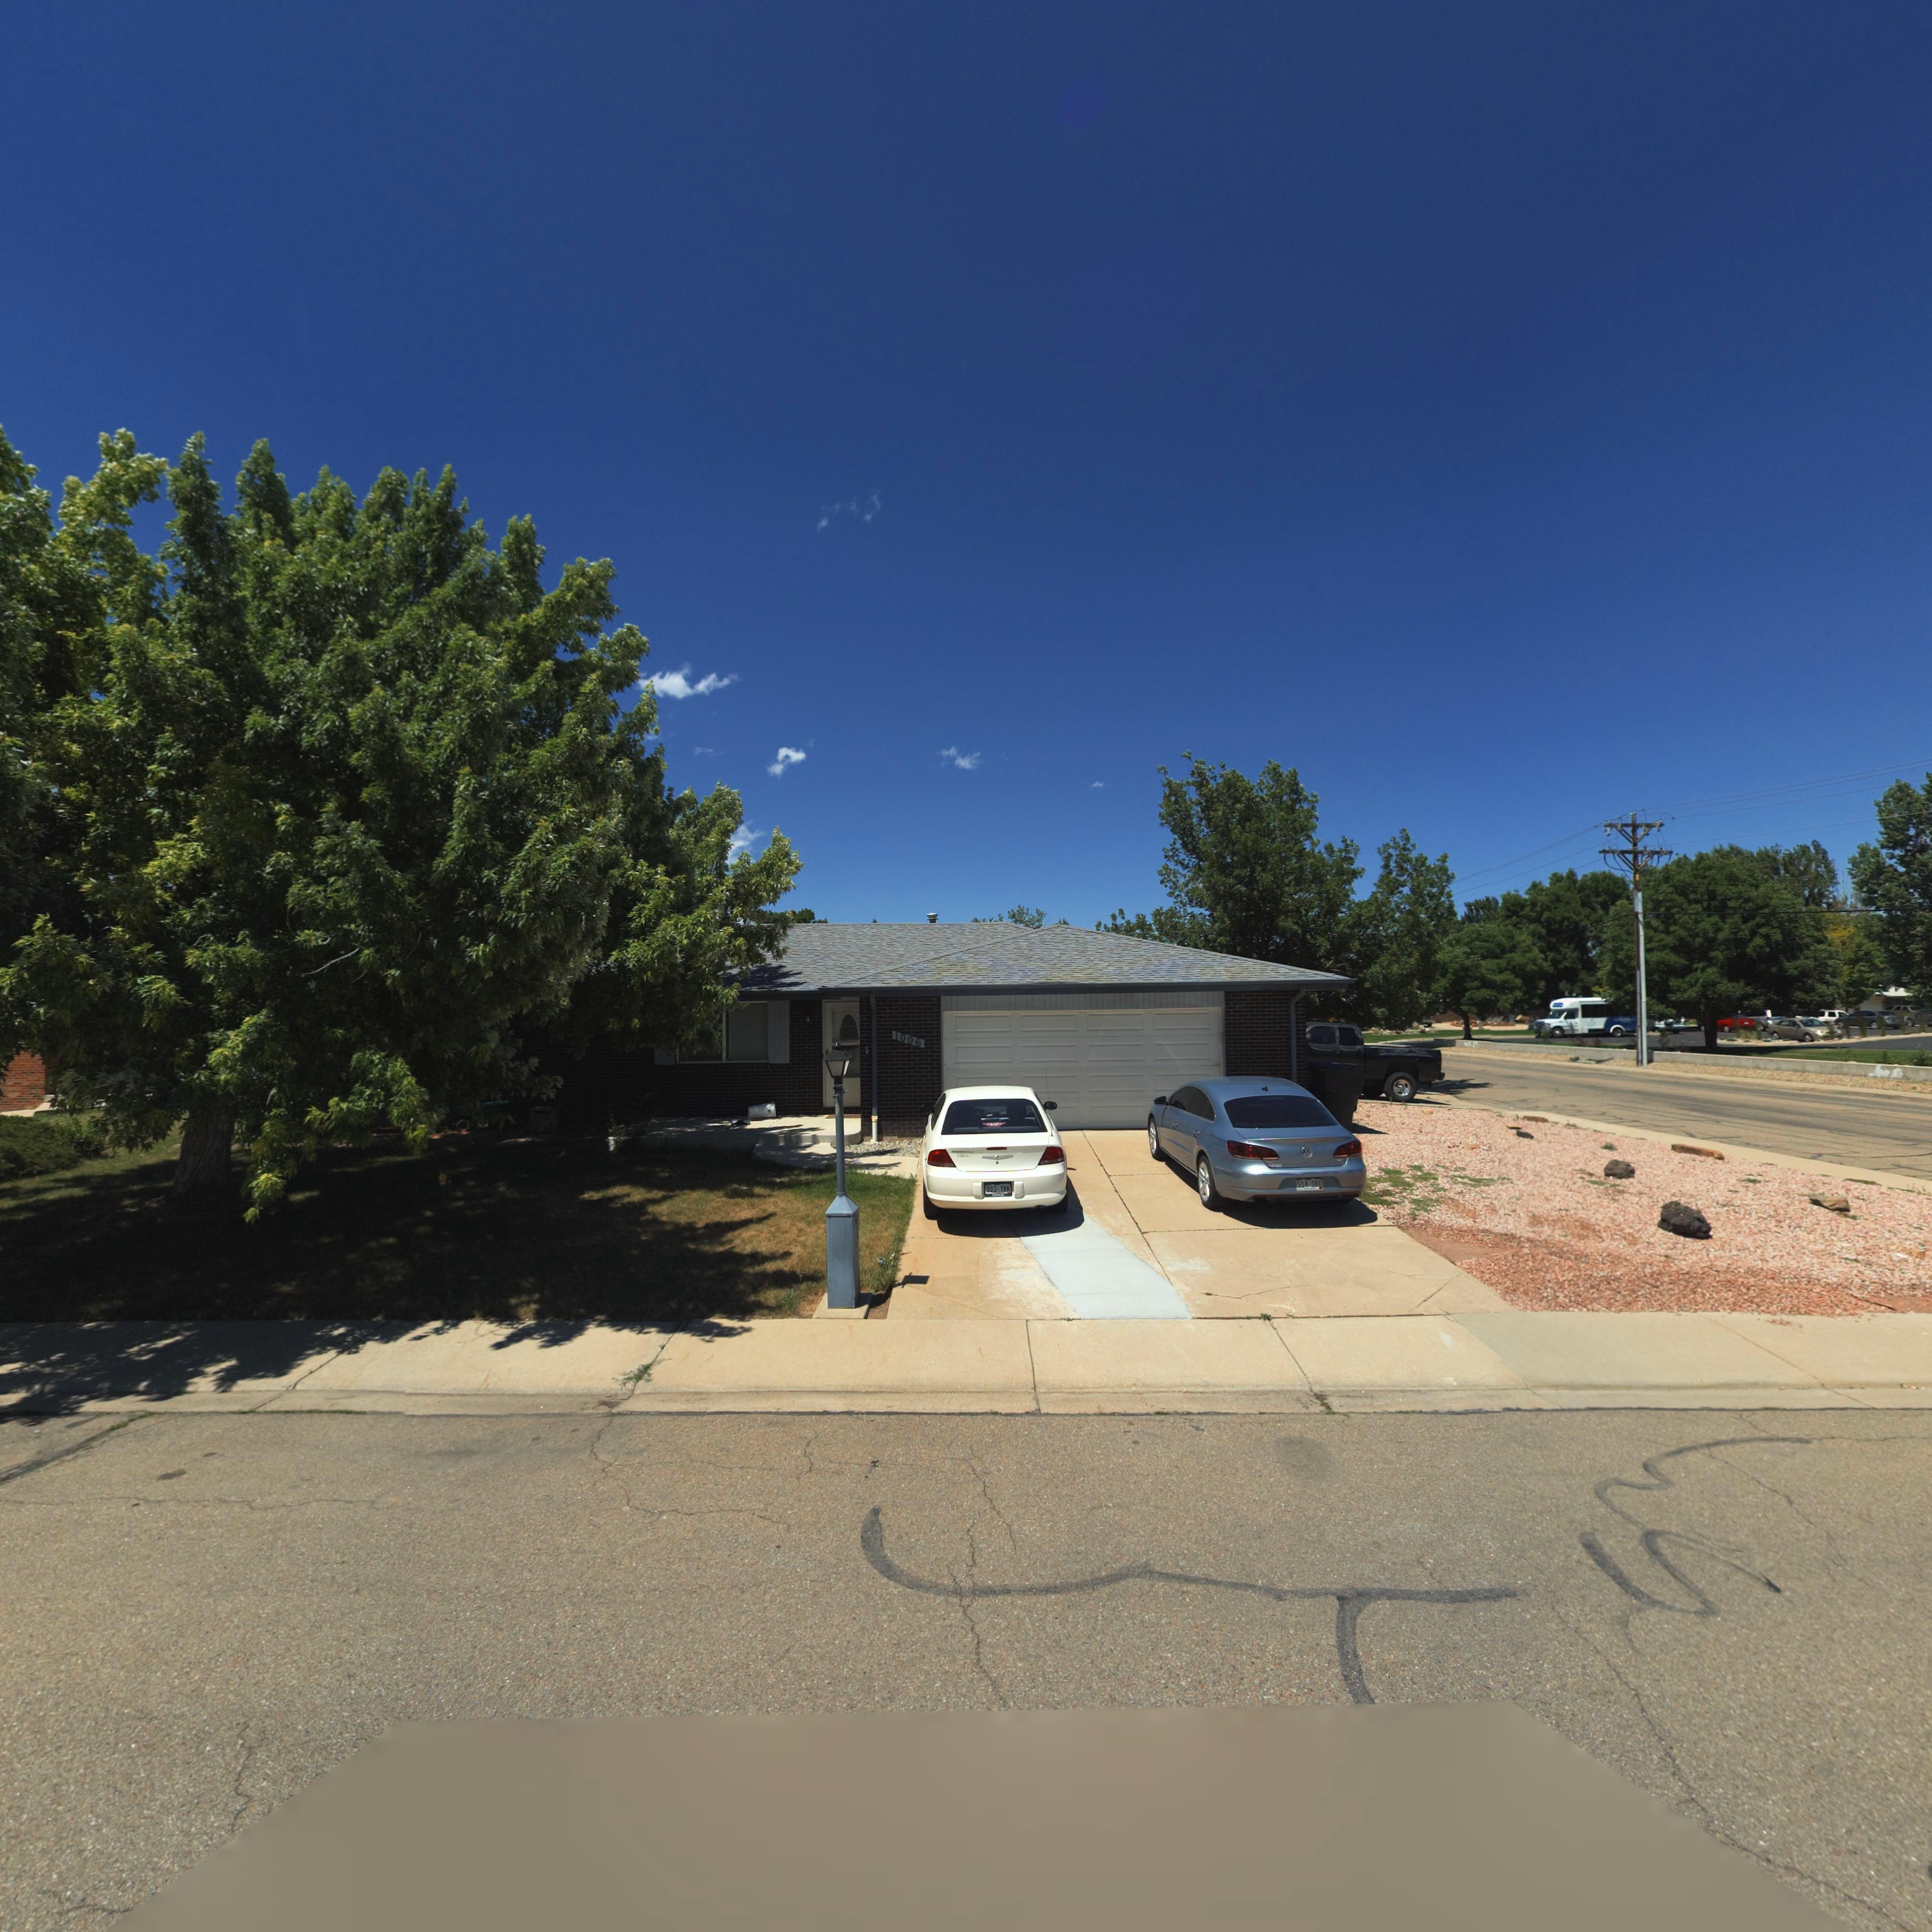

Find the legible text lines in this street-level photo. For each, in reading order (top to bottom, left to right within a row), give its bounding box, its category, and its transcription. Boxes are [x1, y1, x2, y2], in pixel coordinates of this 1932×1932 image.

[895, 1032, 921, 1047] StreetNumber: 1006